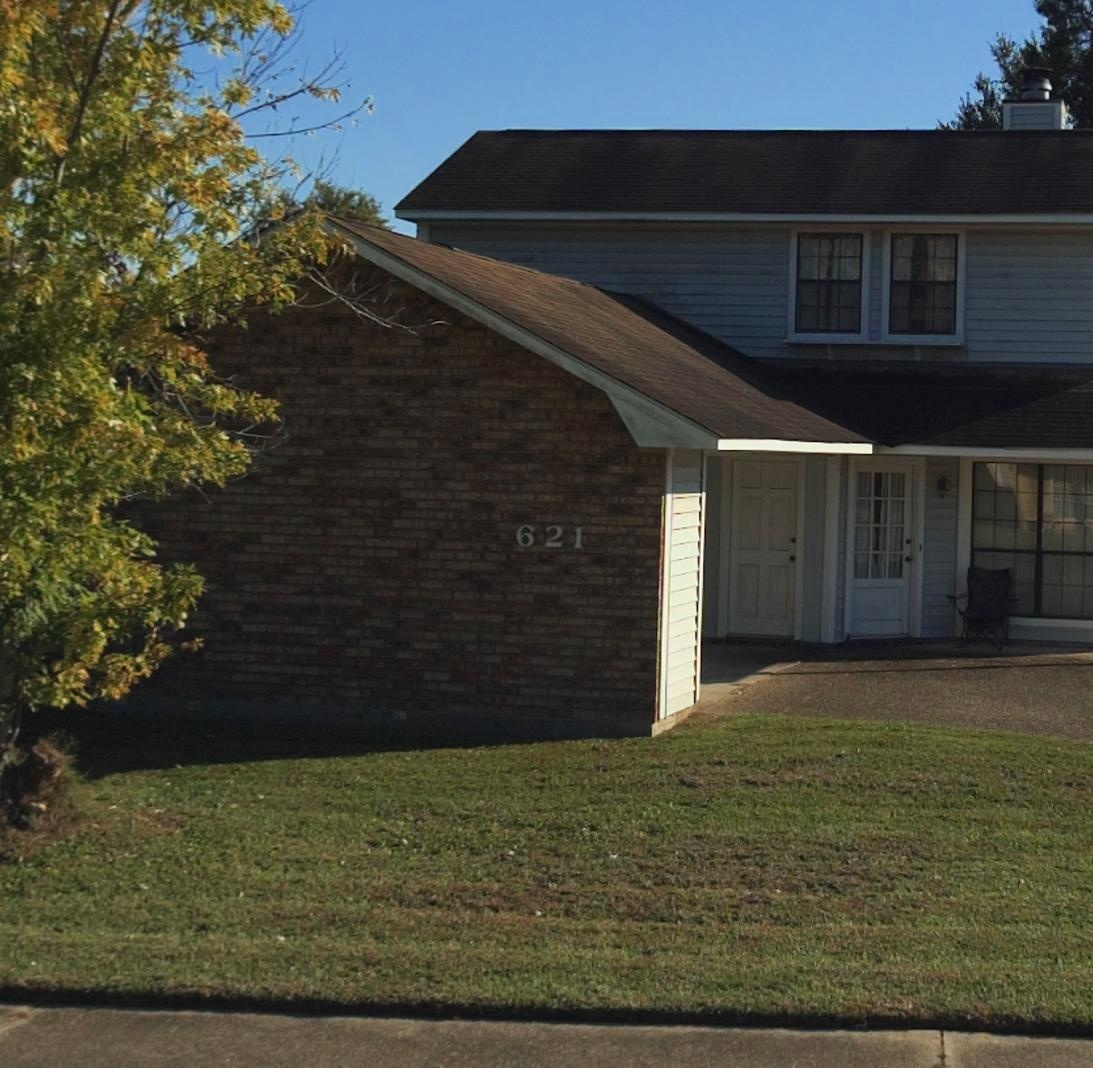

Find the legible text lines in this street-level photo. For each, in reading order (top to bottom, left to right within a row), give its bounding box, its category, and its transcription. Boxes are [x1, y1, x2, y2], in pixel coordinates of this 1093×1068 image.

[515, 522, 584, 549] StreetNumber: 621